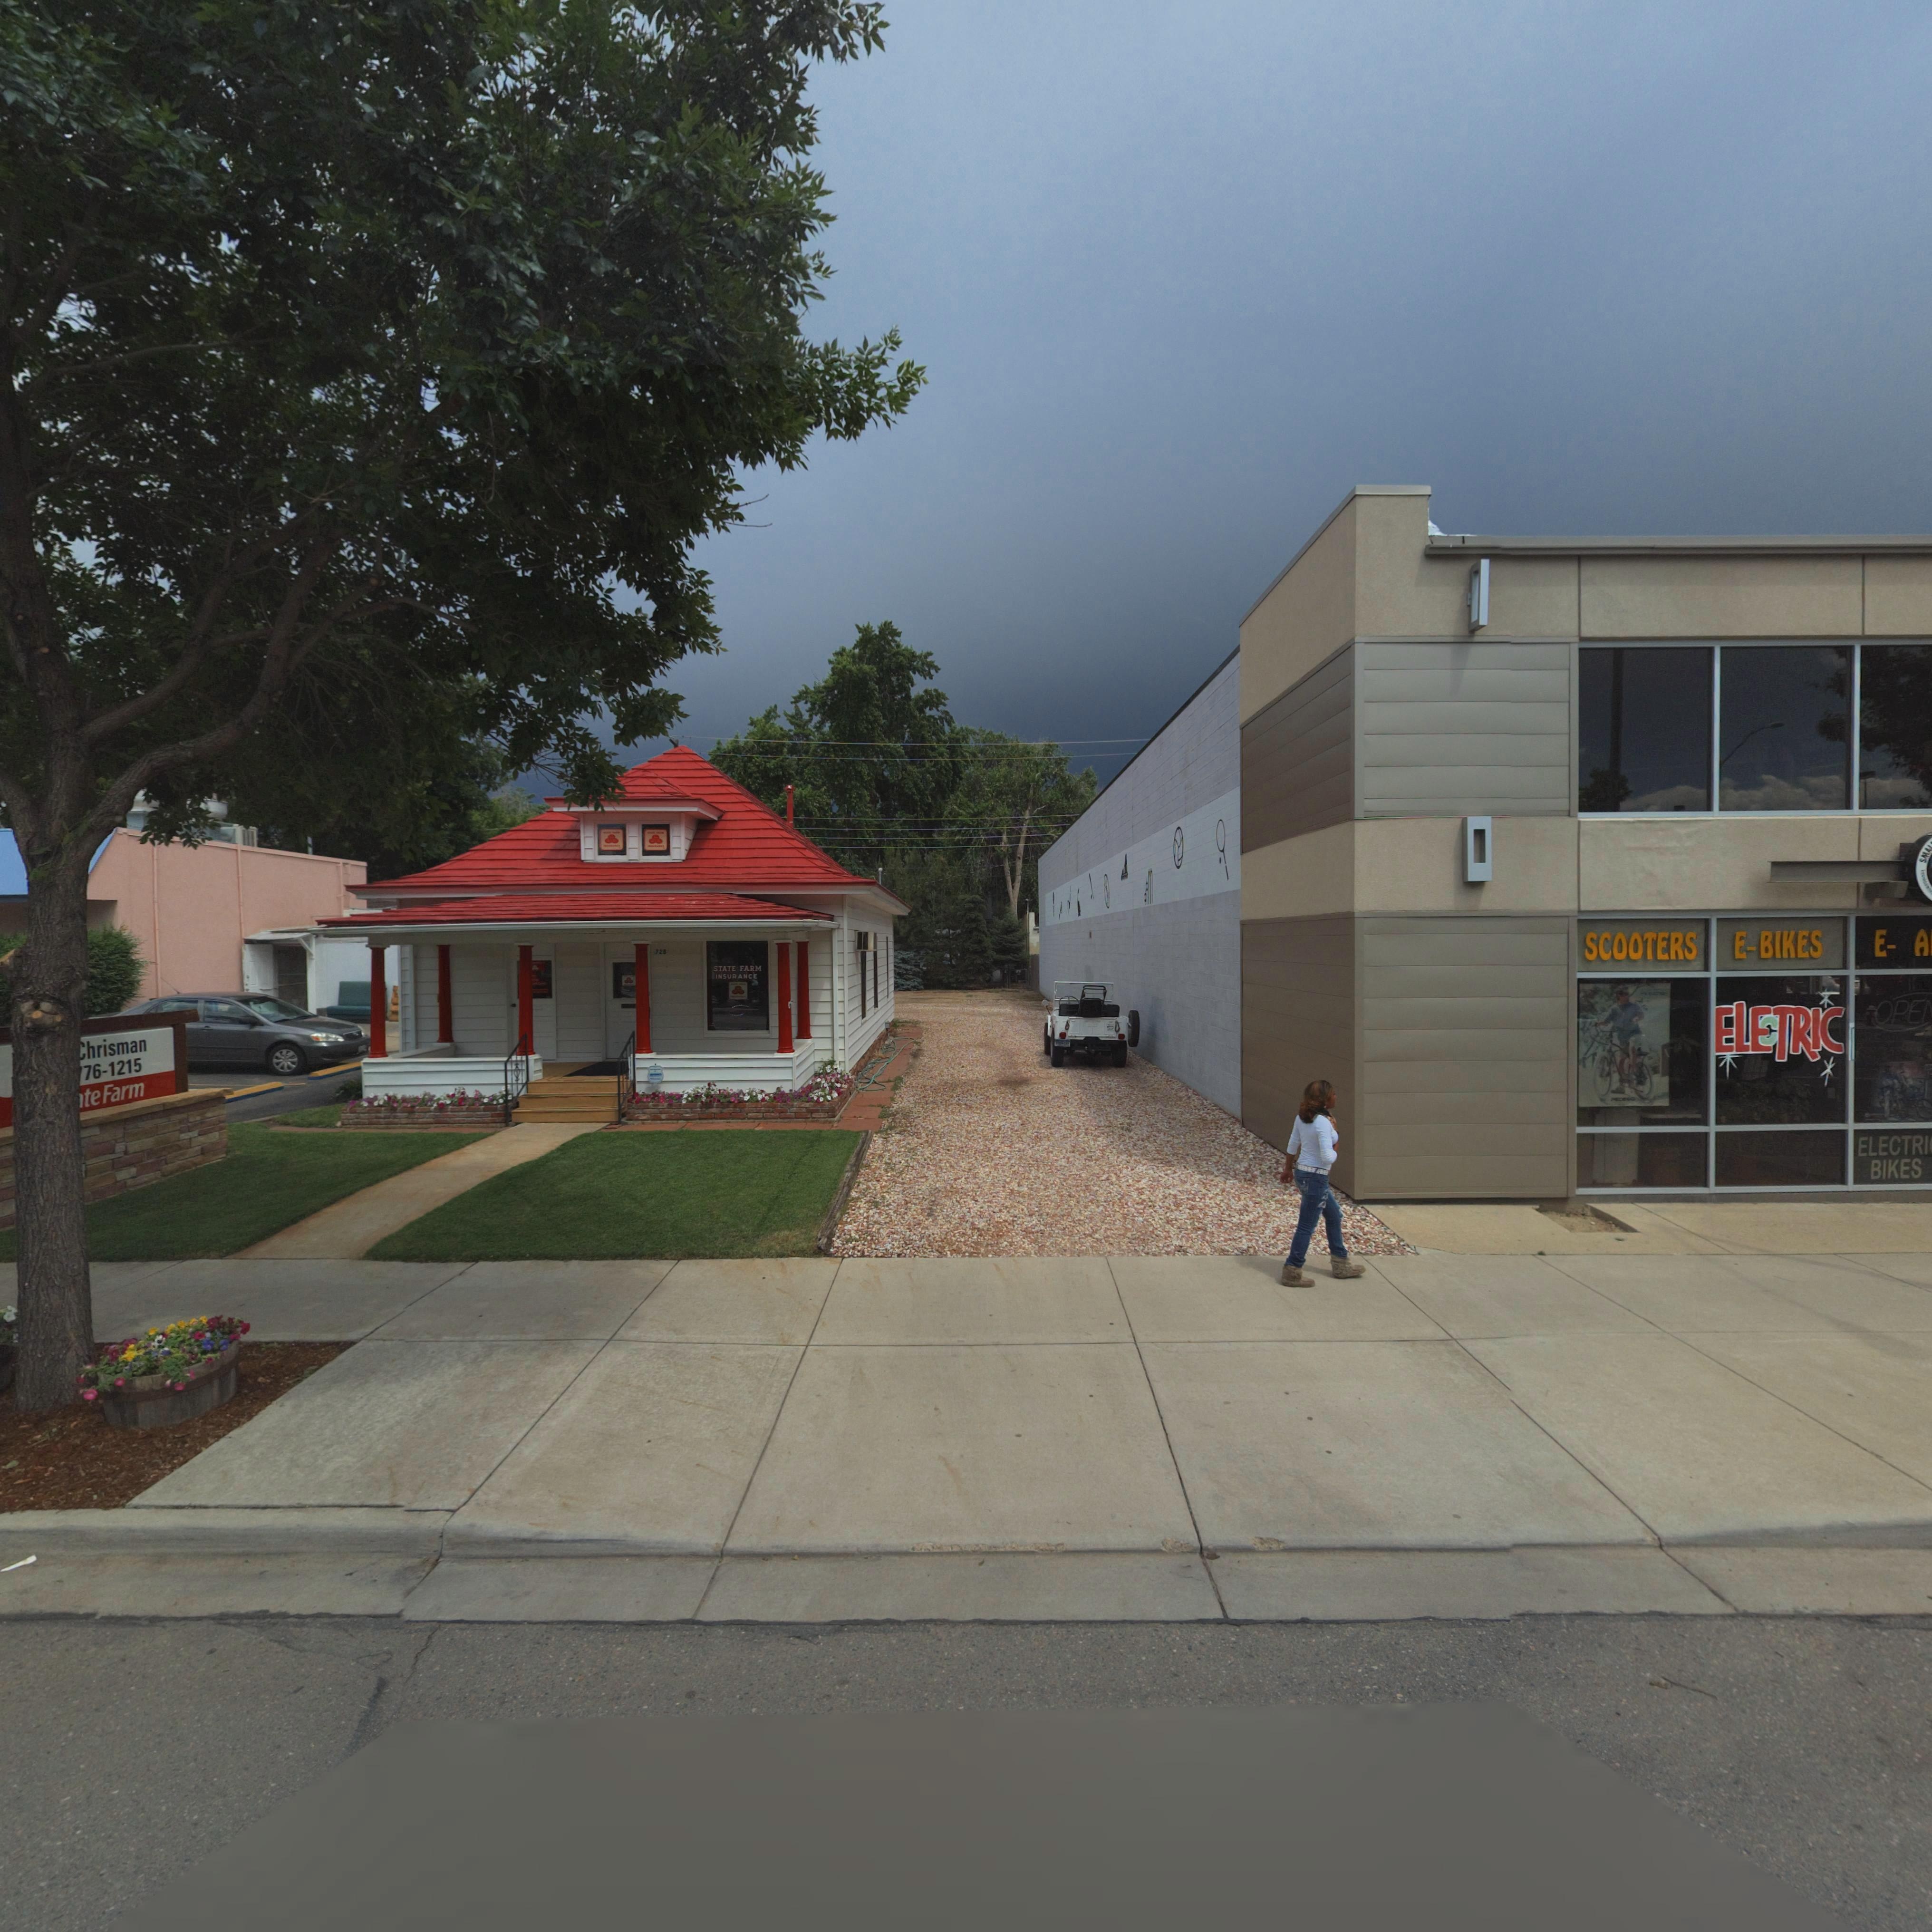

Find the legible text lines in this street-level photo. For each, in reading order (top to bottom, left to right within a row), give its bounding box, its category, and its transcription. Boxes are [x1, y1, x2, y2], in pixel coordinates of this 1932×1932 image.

[655, 949, 666, 954] StreetNumber: 728
[83, 1081, 145, 1108] BusinessName: teFarm